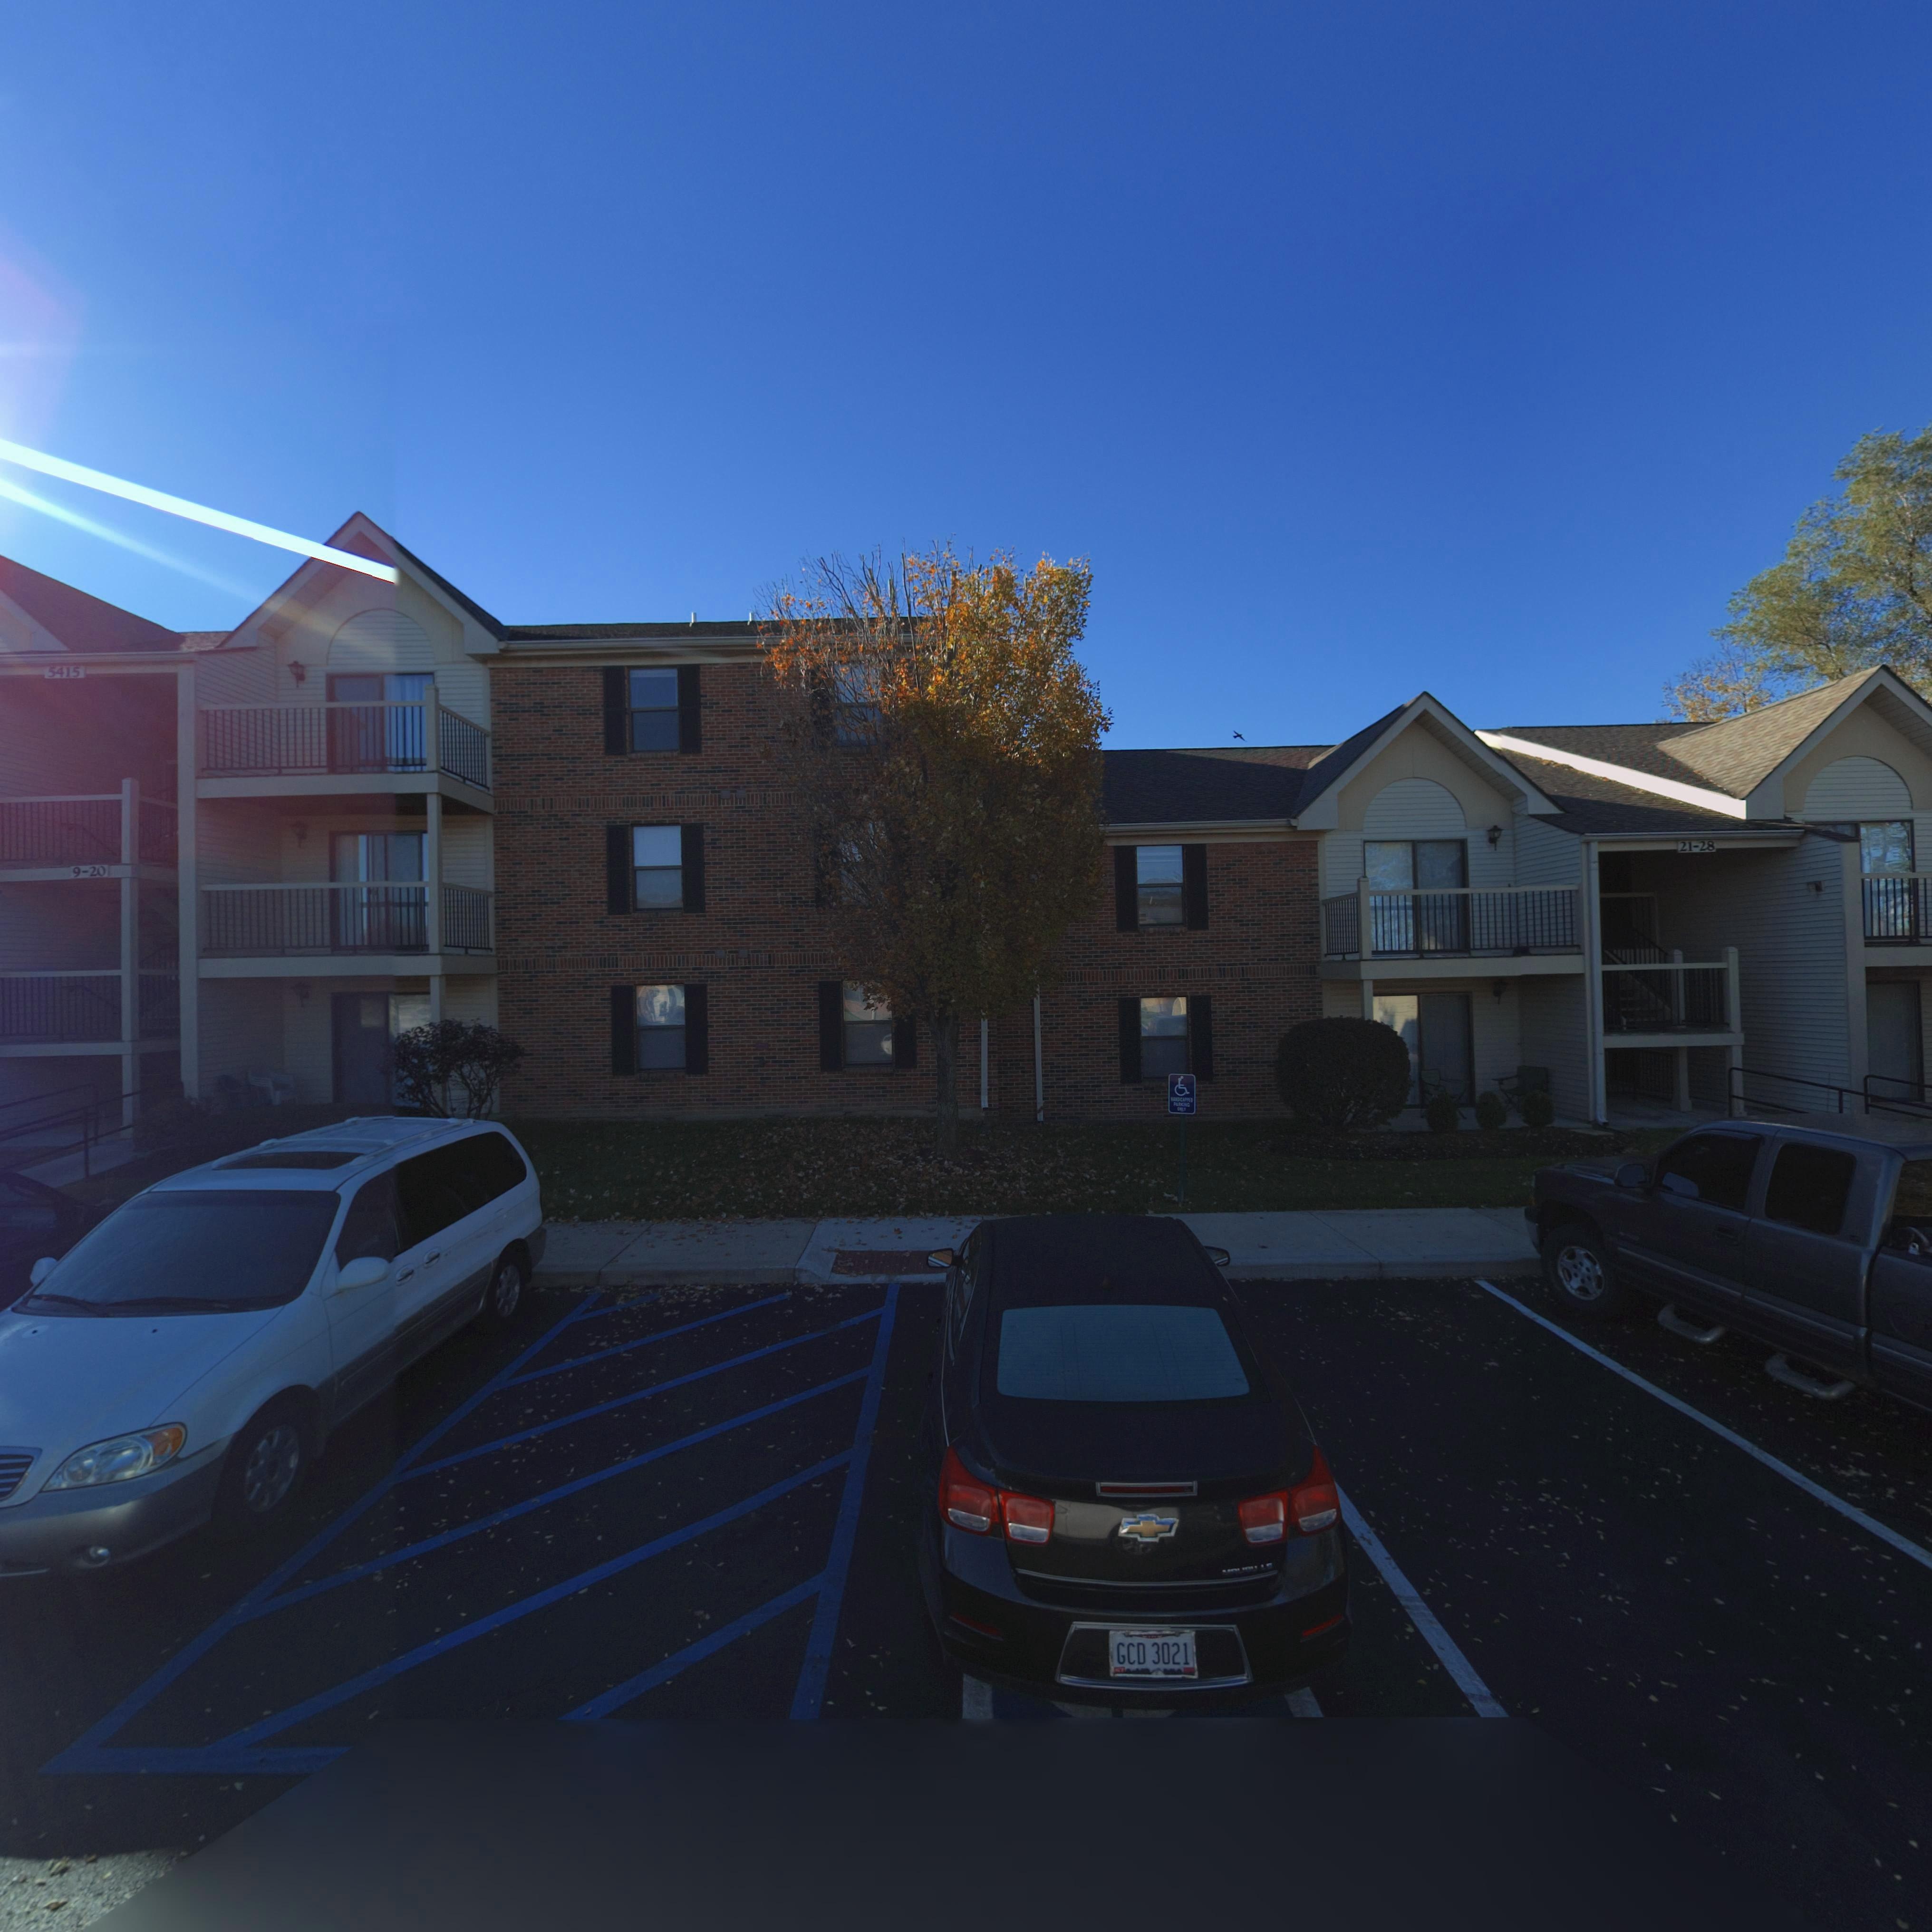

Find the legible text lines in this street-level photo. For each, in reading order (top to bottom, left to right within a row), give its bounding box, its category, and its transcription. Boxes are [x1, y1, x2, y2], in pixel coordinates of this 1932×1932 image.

[48, 665, 81, 678] StreetNumber: 5415
[1679, 840, 1716, 852] StreetNumber: 21-28
[72, 866, 106, 878] StreetNumber: 9-20